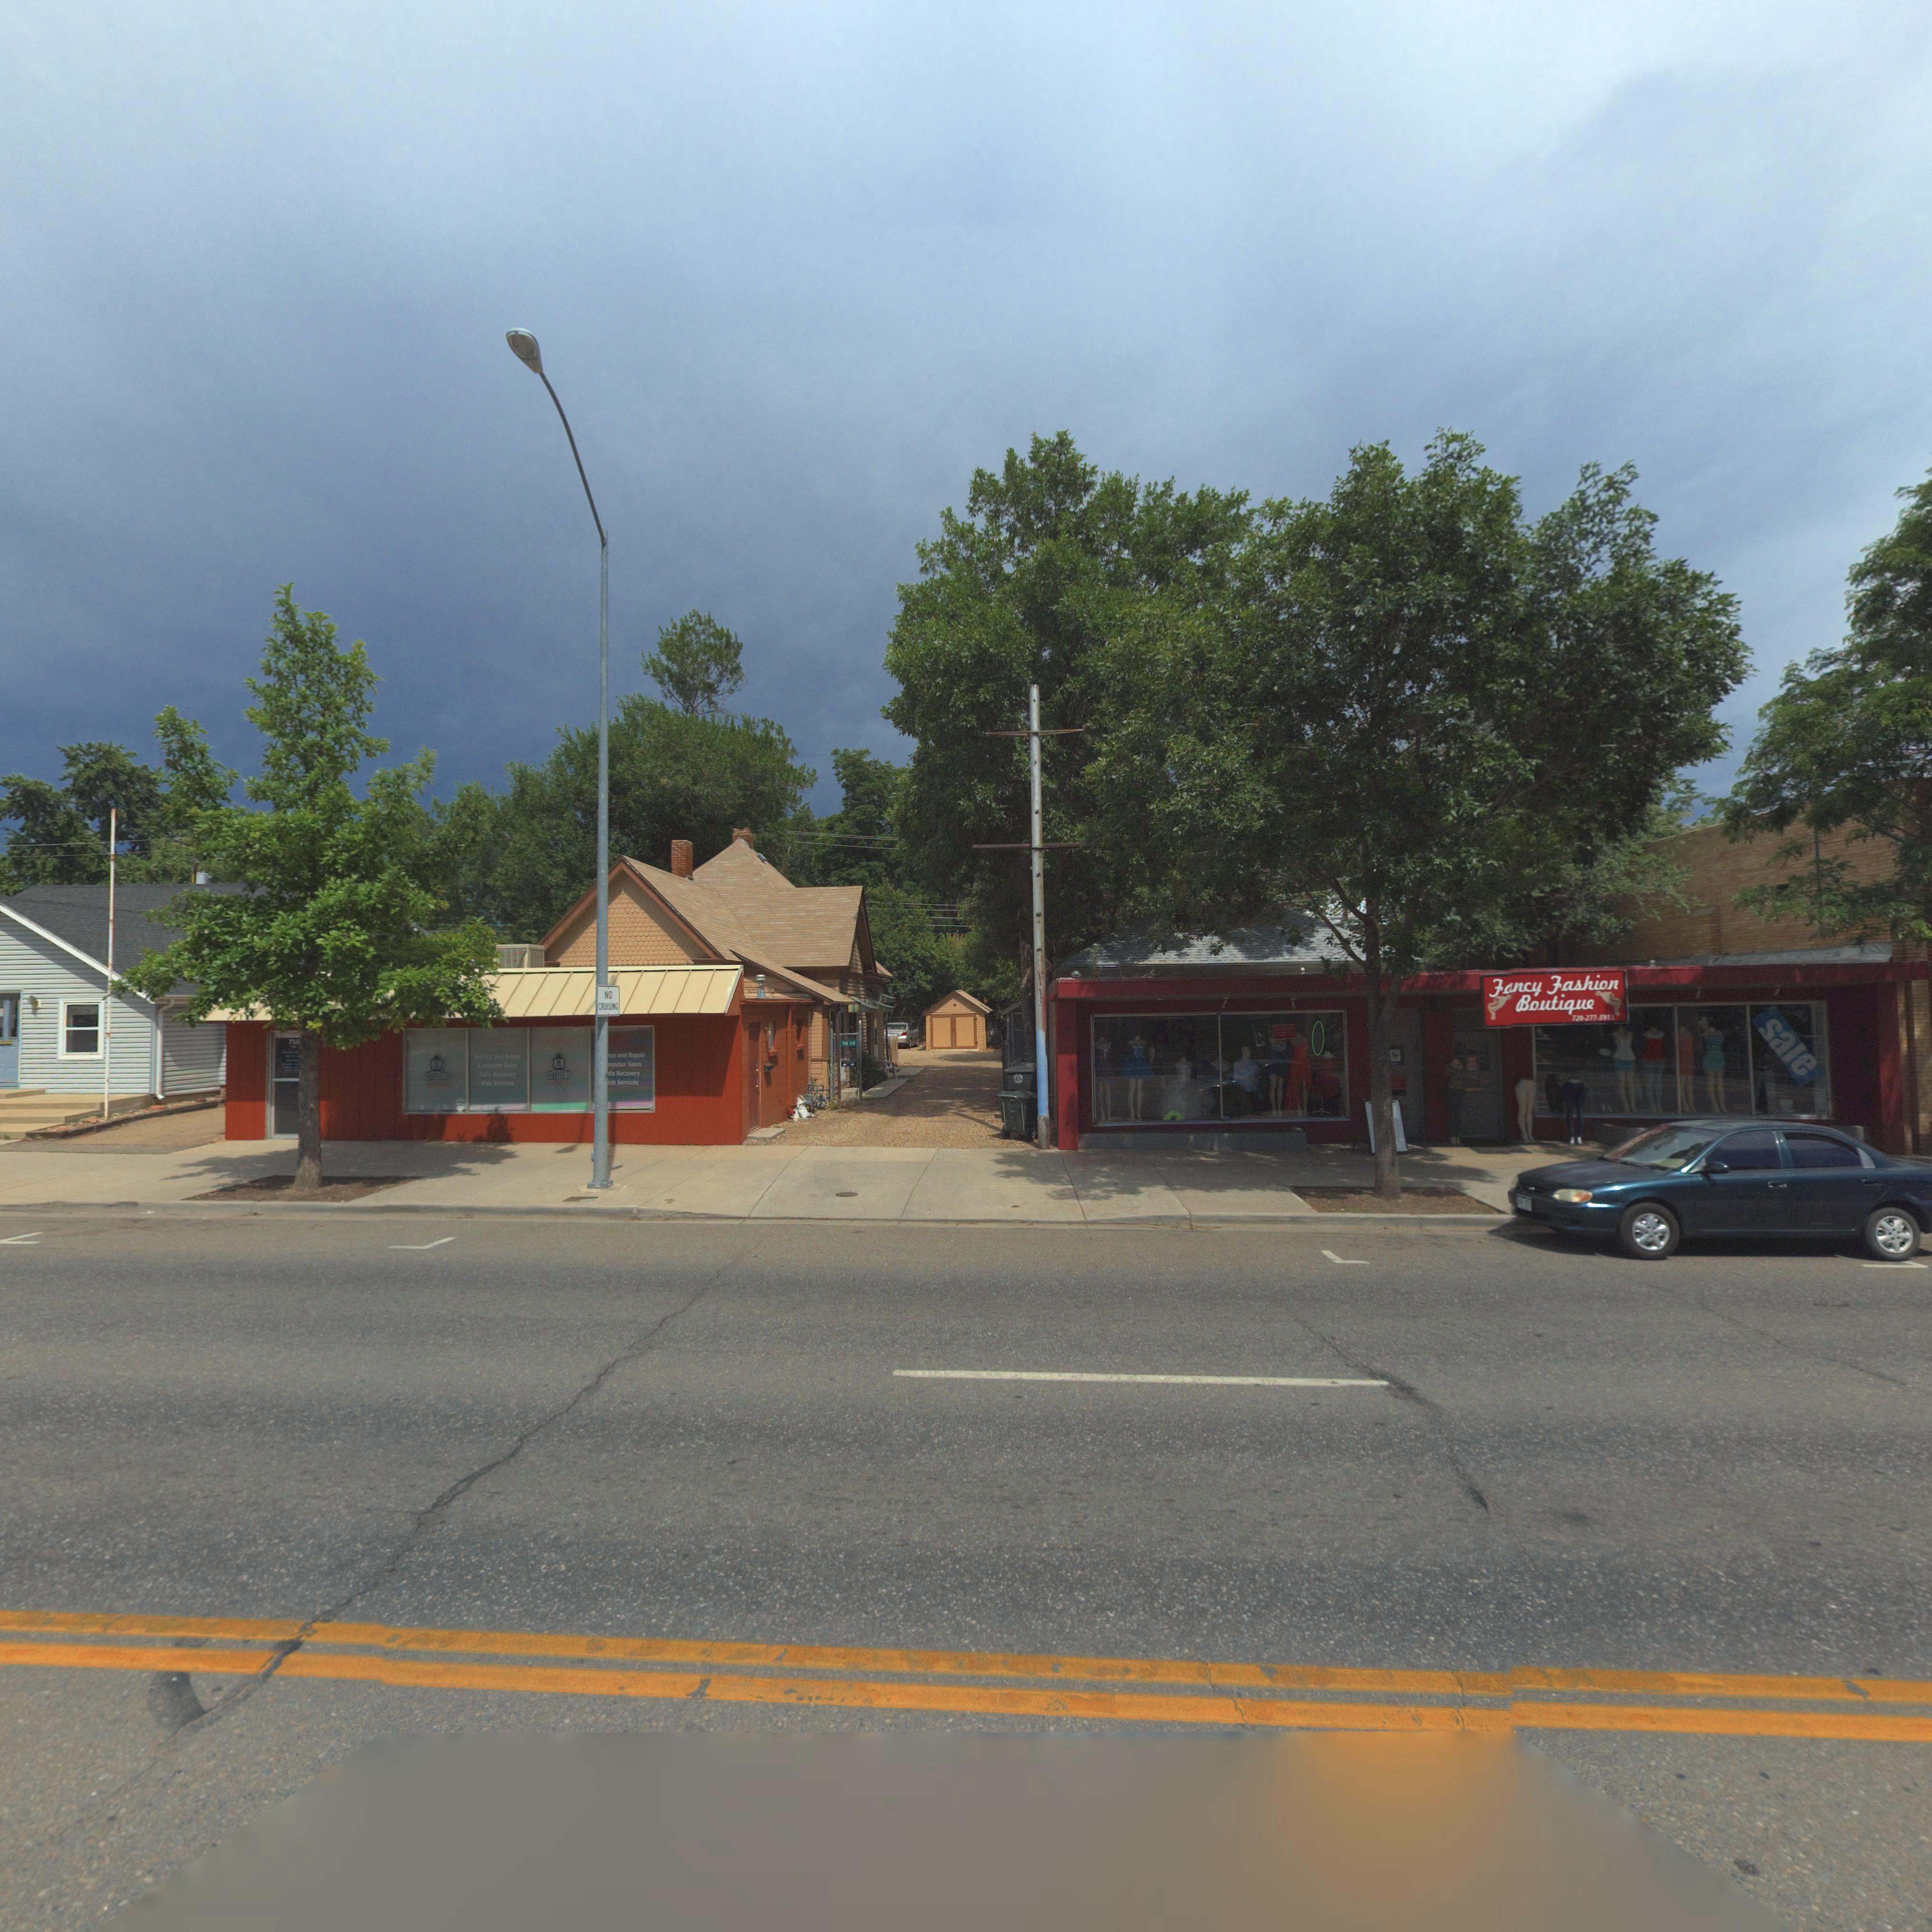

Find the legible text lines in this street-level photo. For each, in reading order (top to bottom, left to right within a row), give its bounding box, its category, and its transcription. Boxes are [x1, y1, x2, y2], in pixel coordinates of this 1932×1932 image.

[1488, 974, 1619, 998] BusinessName: Fancy Fashion
[1514, 993, 1595, 1015] BusinessName: Boutique
[425, 1070, 448, 1081] StreetNumber: CITIZENS
[546, 1069, 572, 1079] BusinessName: CITIZENS